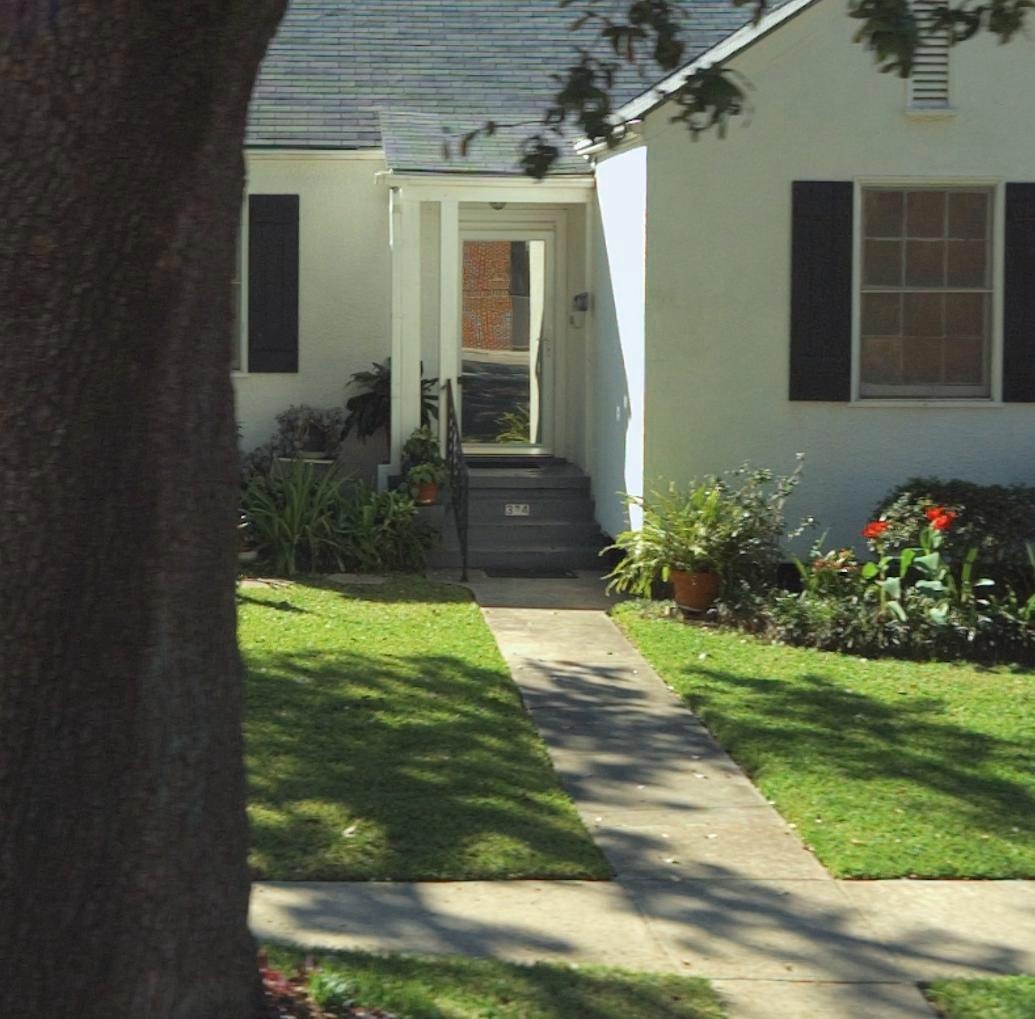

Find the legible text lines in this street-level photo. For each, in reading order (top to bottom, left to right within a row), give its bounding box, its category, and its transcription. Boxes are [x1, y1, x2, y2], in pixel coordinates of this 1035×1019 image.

[504, 503, 530, 517] StreetNumber: 3**